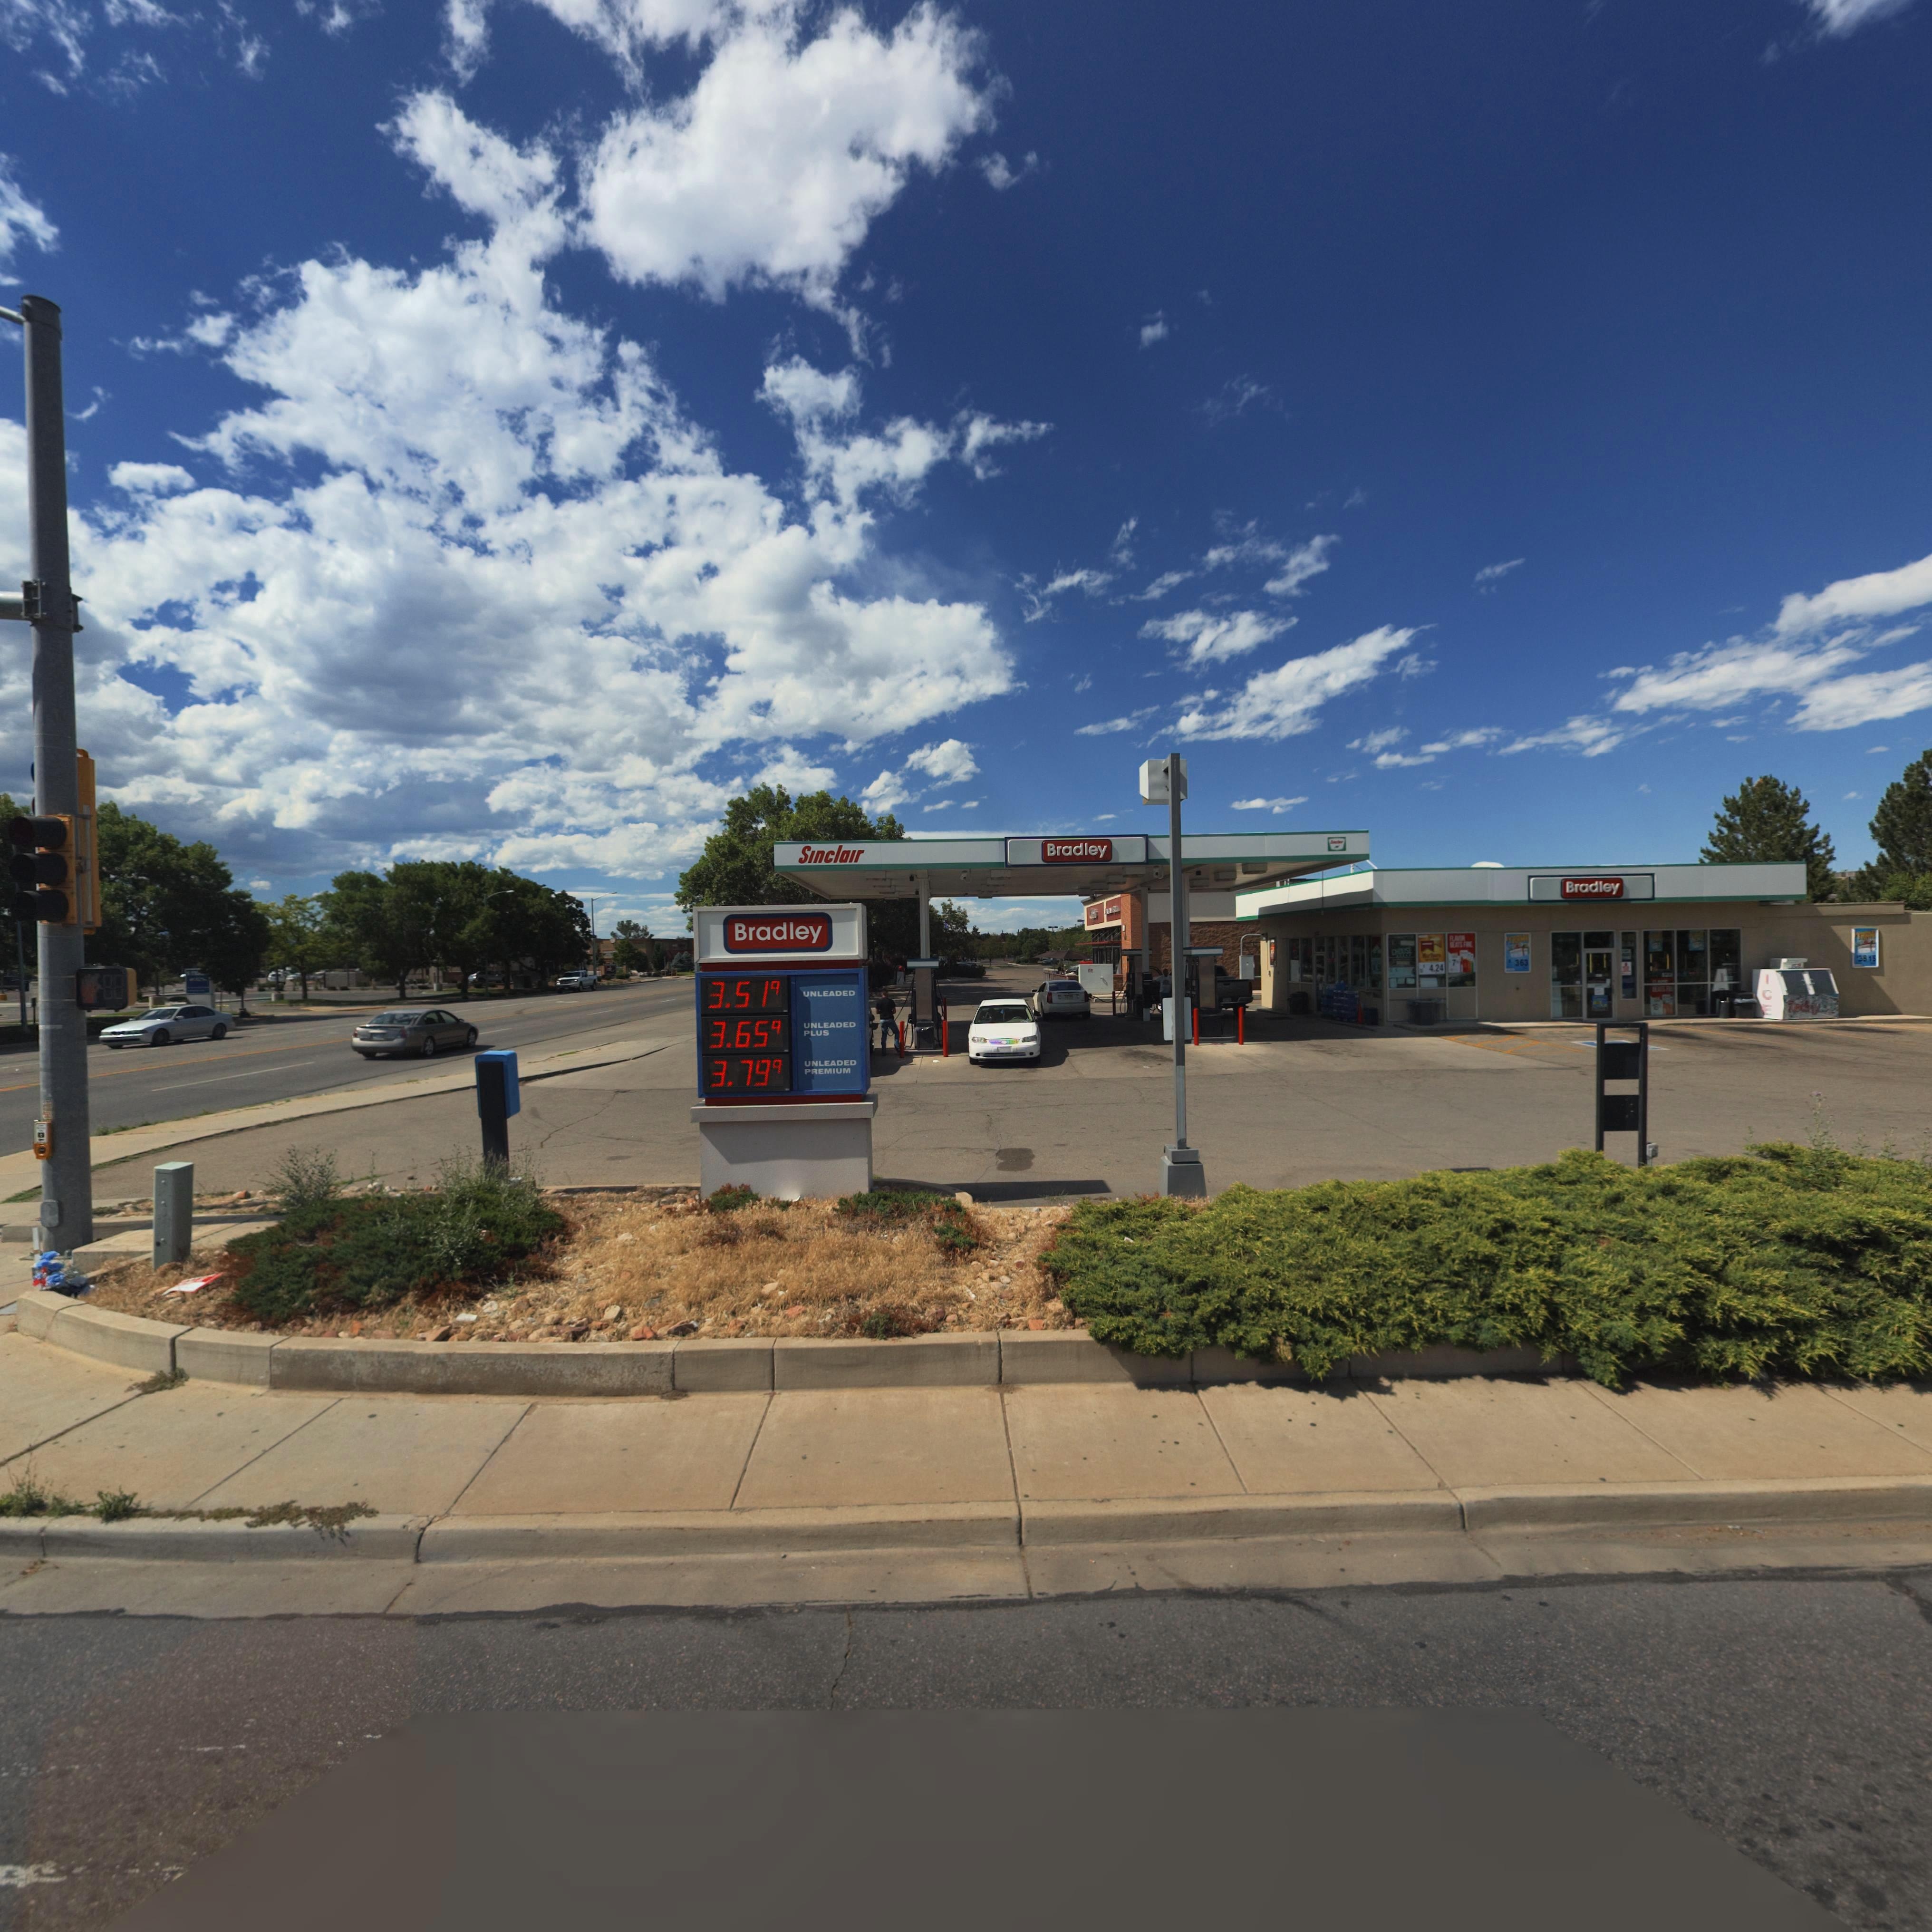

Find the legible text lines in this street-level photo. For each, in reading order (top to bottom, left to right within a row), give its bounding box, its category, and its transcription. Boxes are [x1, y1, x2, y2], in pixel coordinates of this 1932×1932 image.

[1330, 839, 1343, 844] BusinessName: S******r
[797, 844, 865, 864] BusinessName: Sinclair
[1046, 841, 1108, 859] BusinessName: Bradley
[1565, 879, 1621, 895] BusinessName: Bradley
[1088, 907, 1099, 922] BusinessName: C*******
[1106, 904, 1120, 915] BusinessName: ***E ****
[732, 919, 824, 945] BusinessName: Bradley